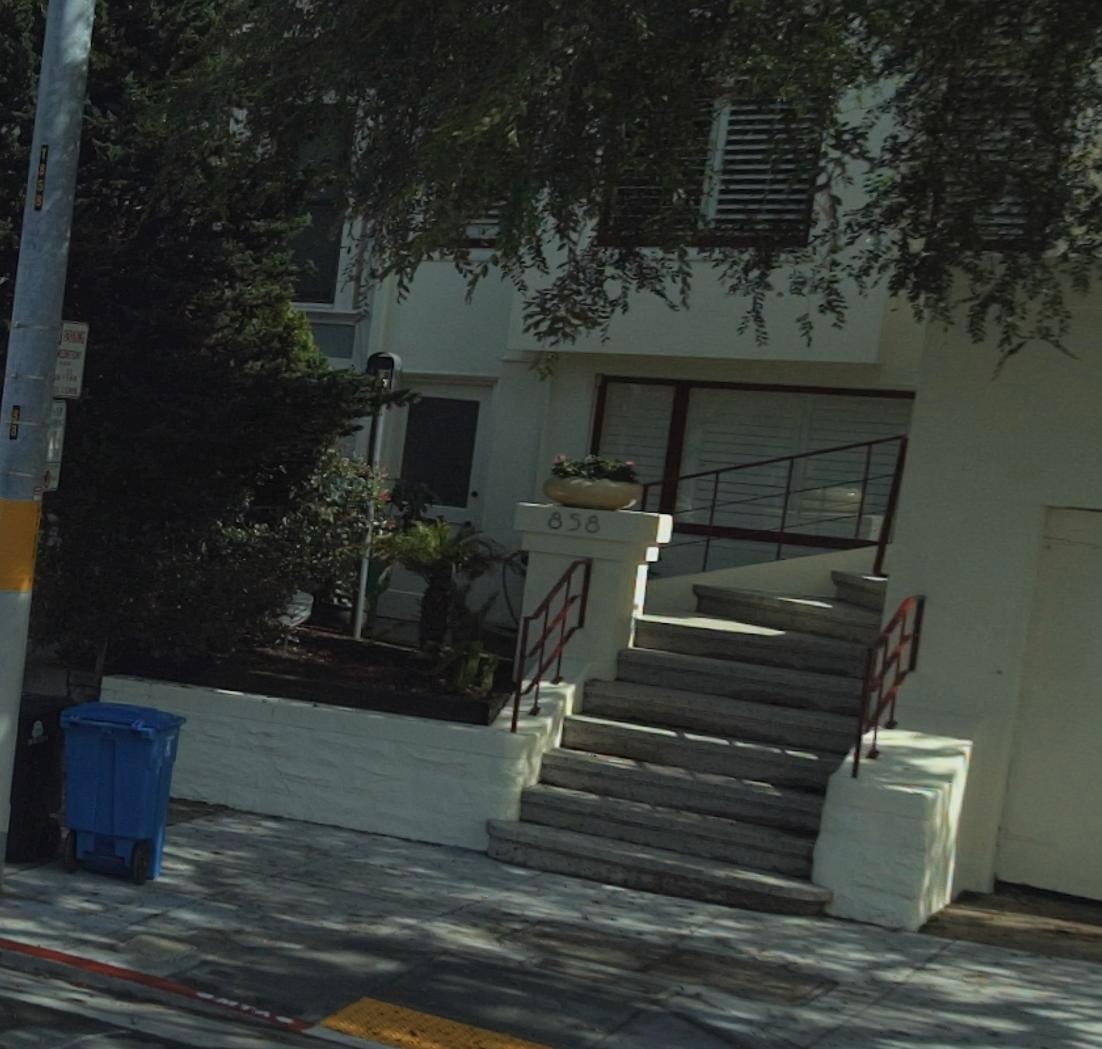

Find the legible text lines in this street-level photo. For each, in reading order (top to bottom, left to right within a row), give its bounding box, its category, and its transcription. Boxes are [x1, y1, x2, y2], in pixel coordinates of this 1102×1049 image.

[32, 145, 50, 212] None: T8**
[544, 508, 603, 536] StreetNumber: 858